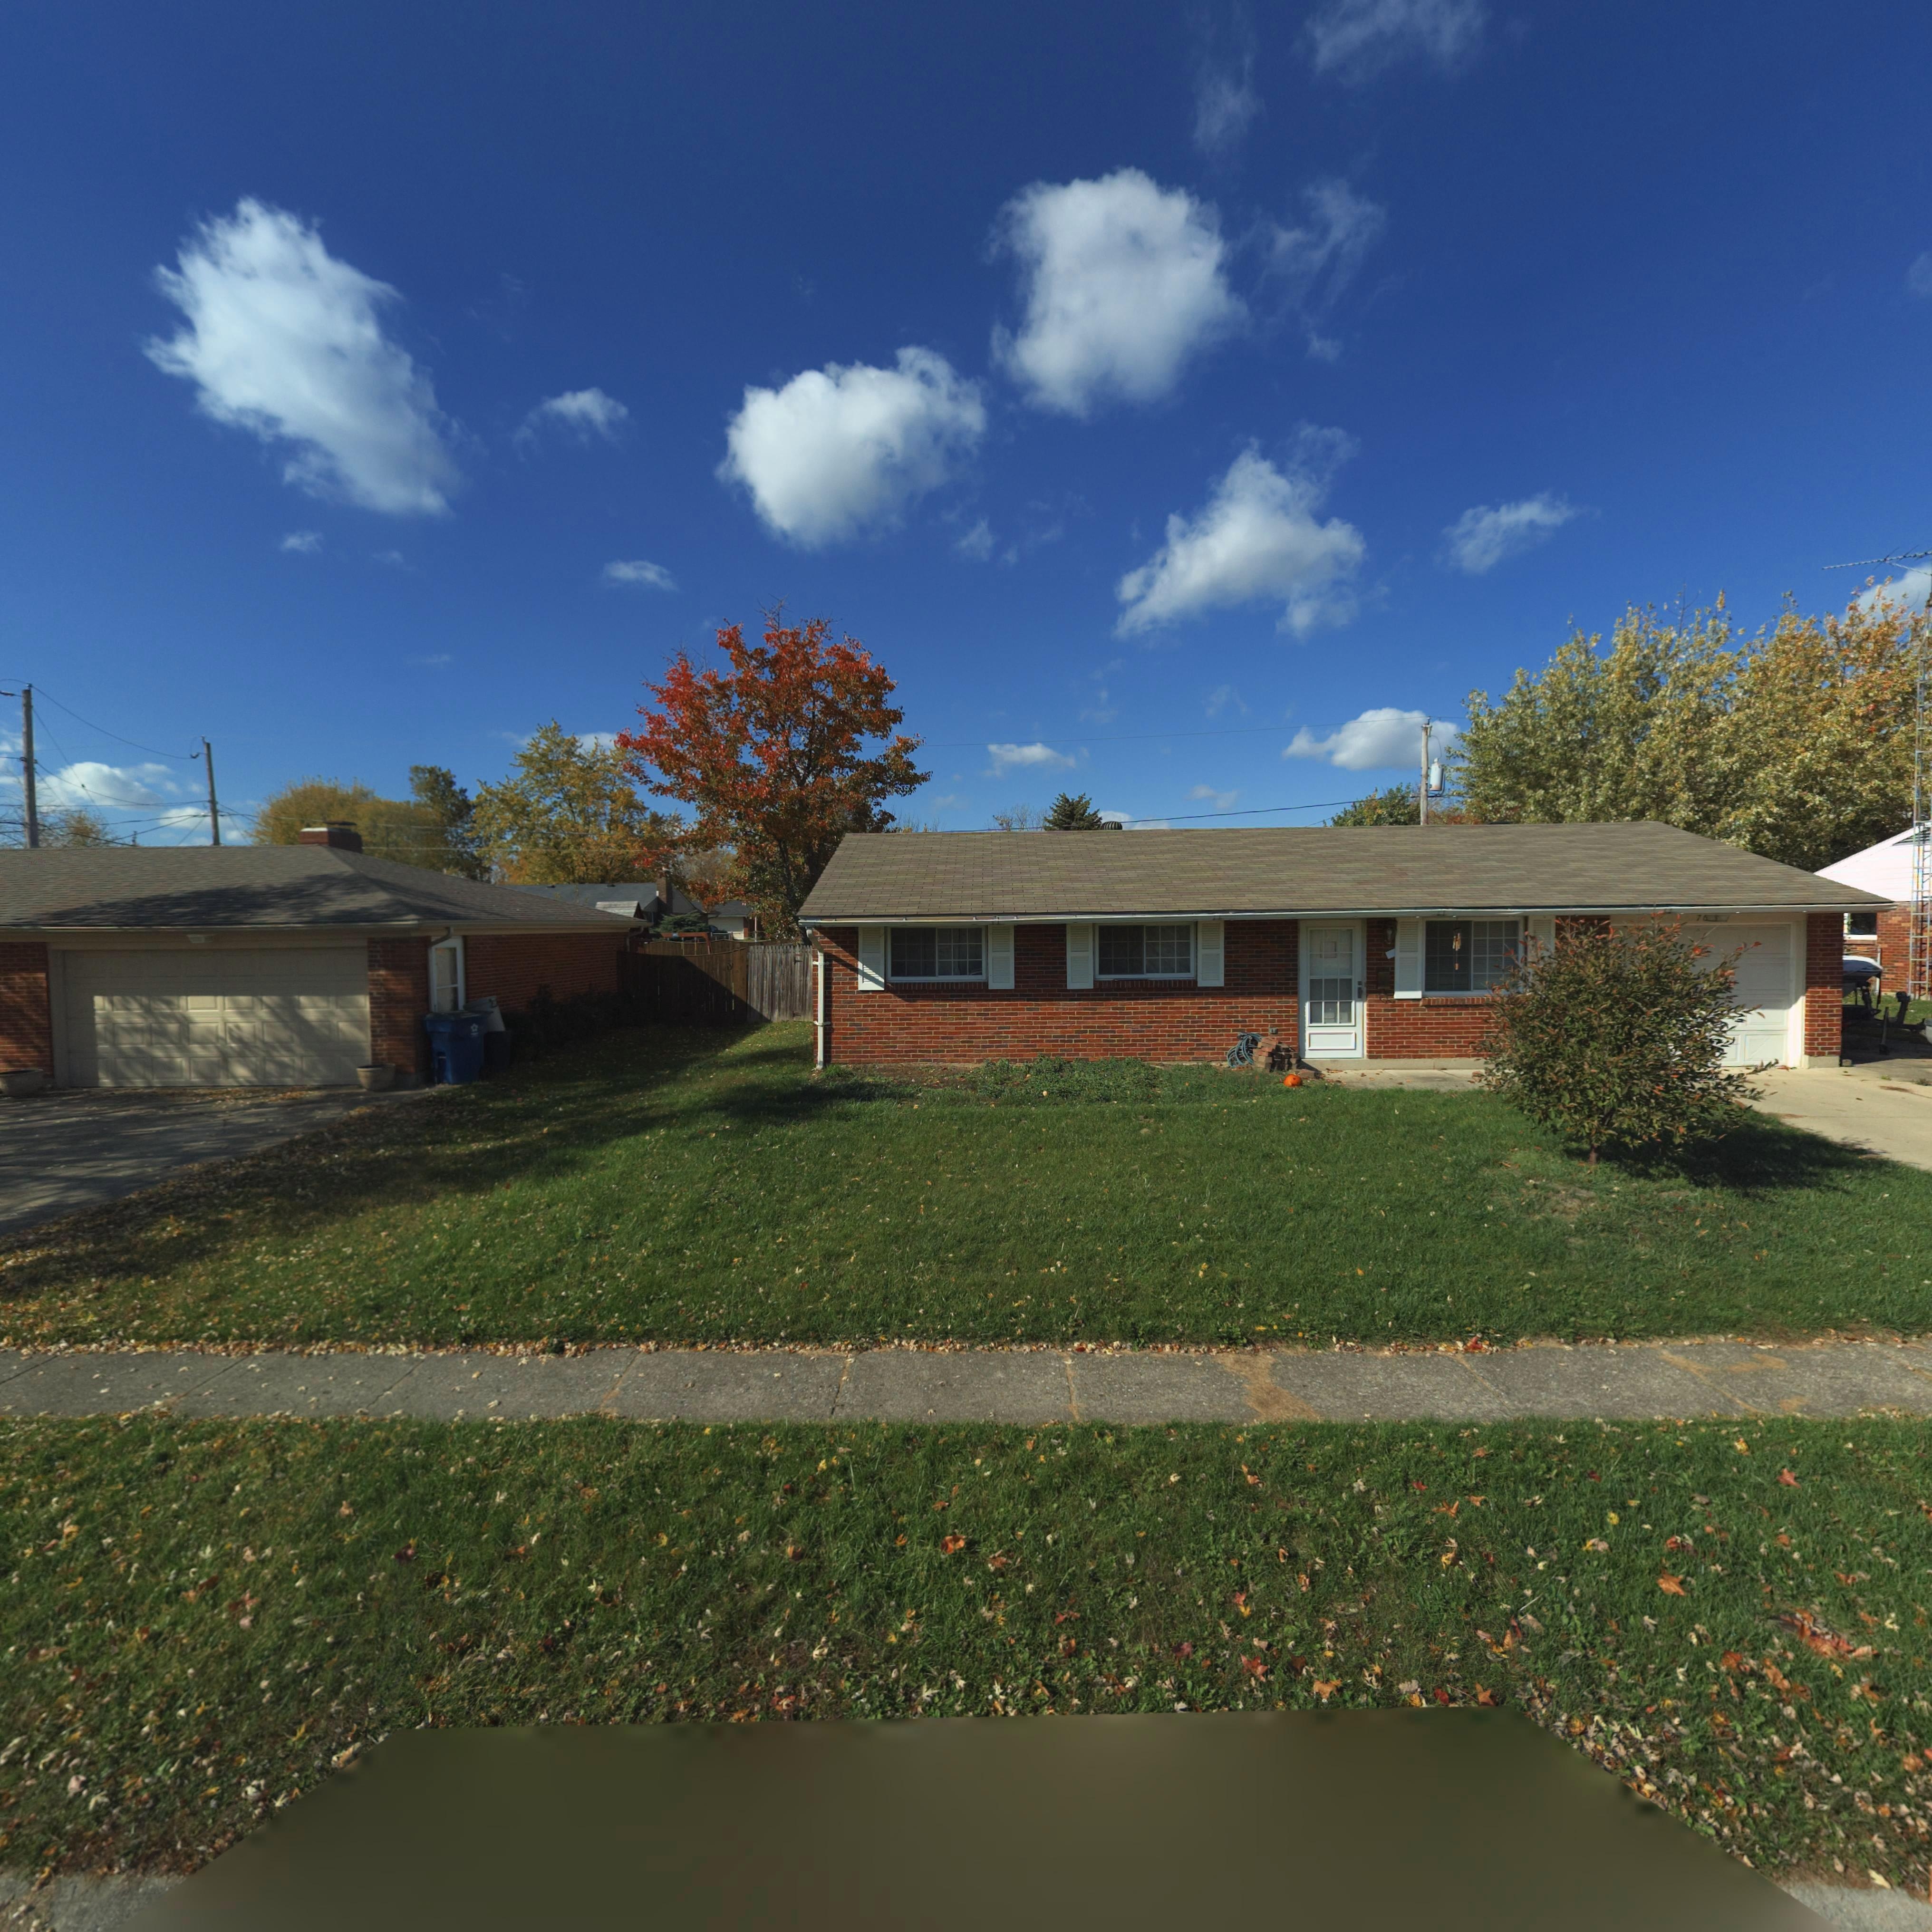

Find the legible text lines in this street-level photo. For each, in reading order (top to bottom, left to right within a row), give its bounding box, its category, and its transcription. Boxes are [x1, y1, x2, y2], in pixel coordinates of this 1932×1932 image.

[1694, 913, 1703, 923] StreetNumber: 7